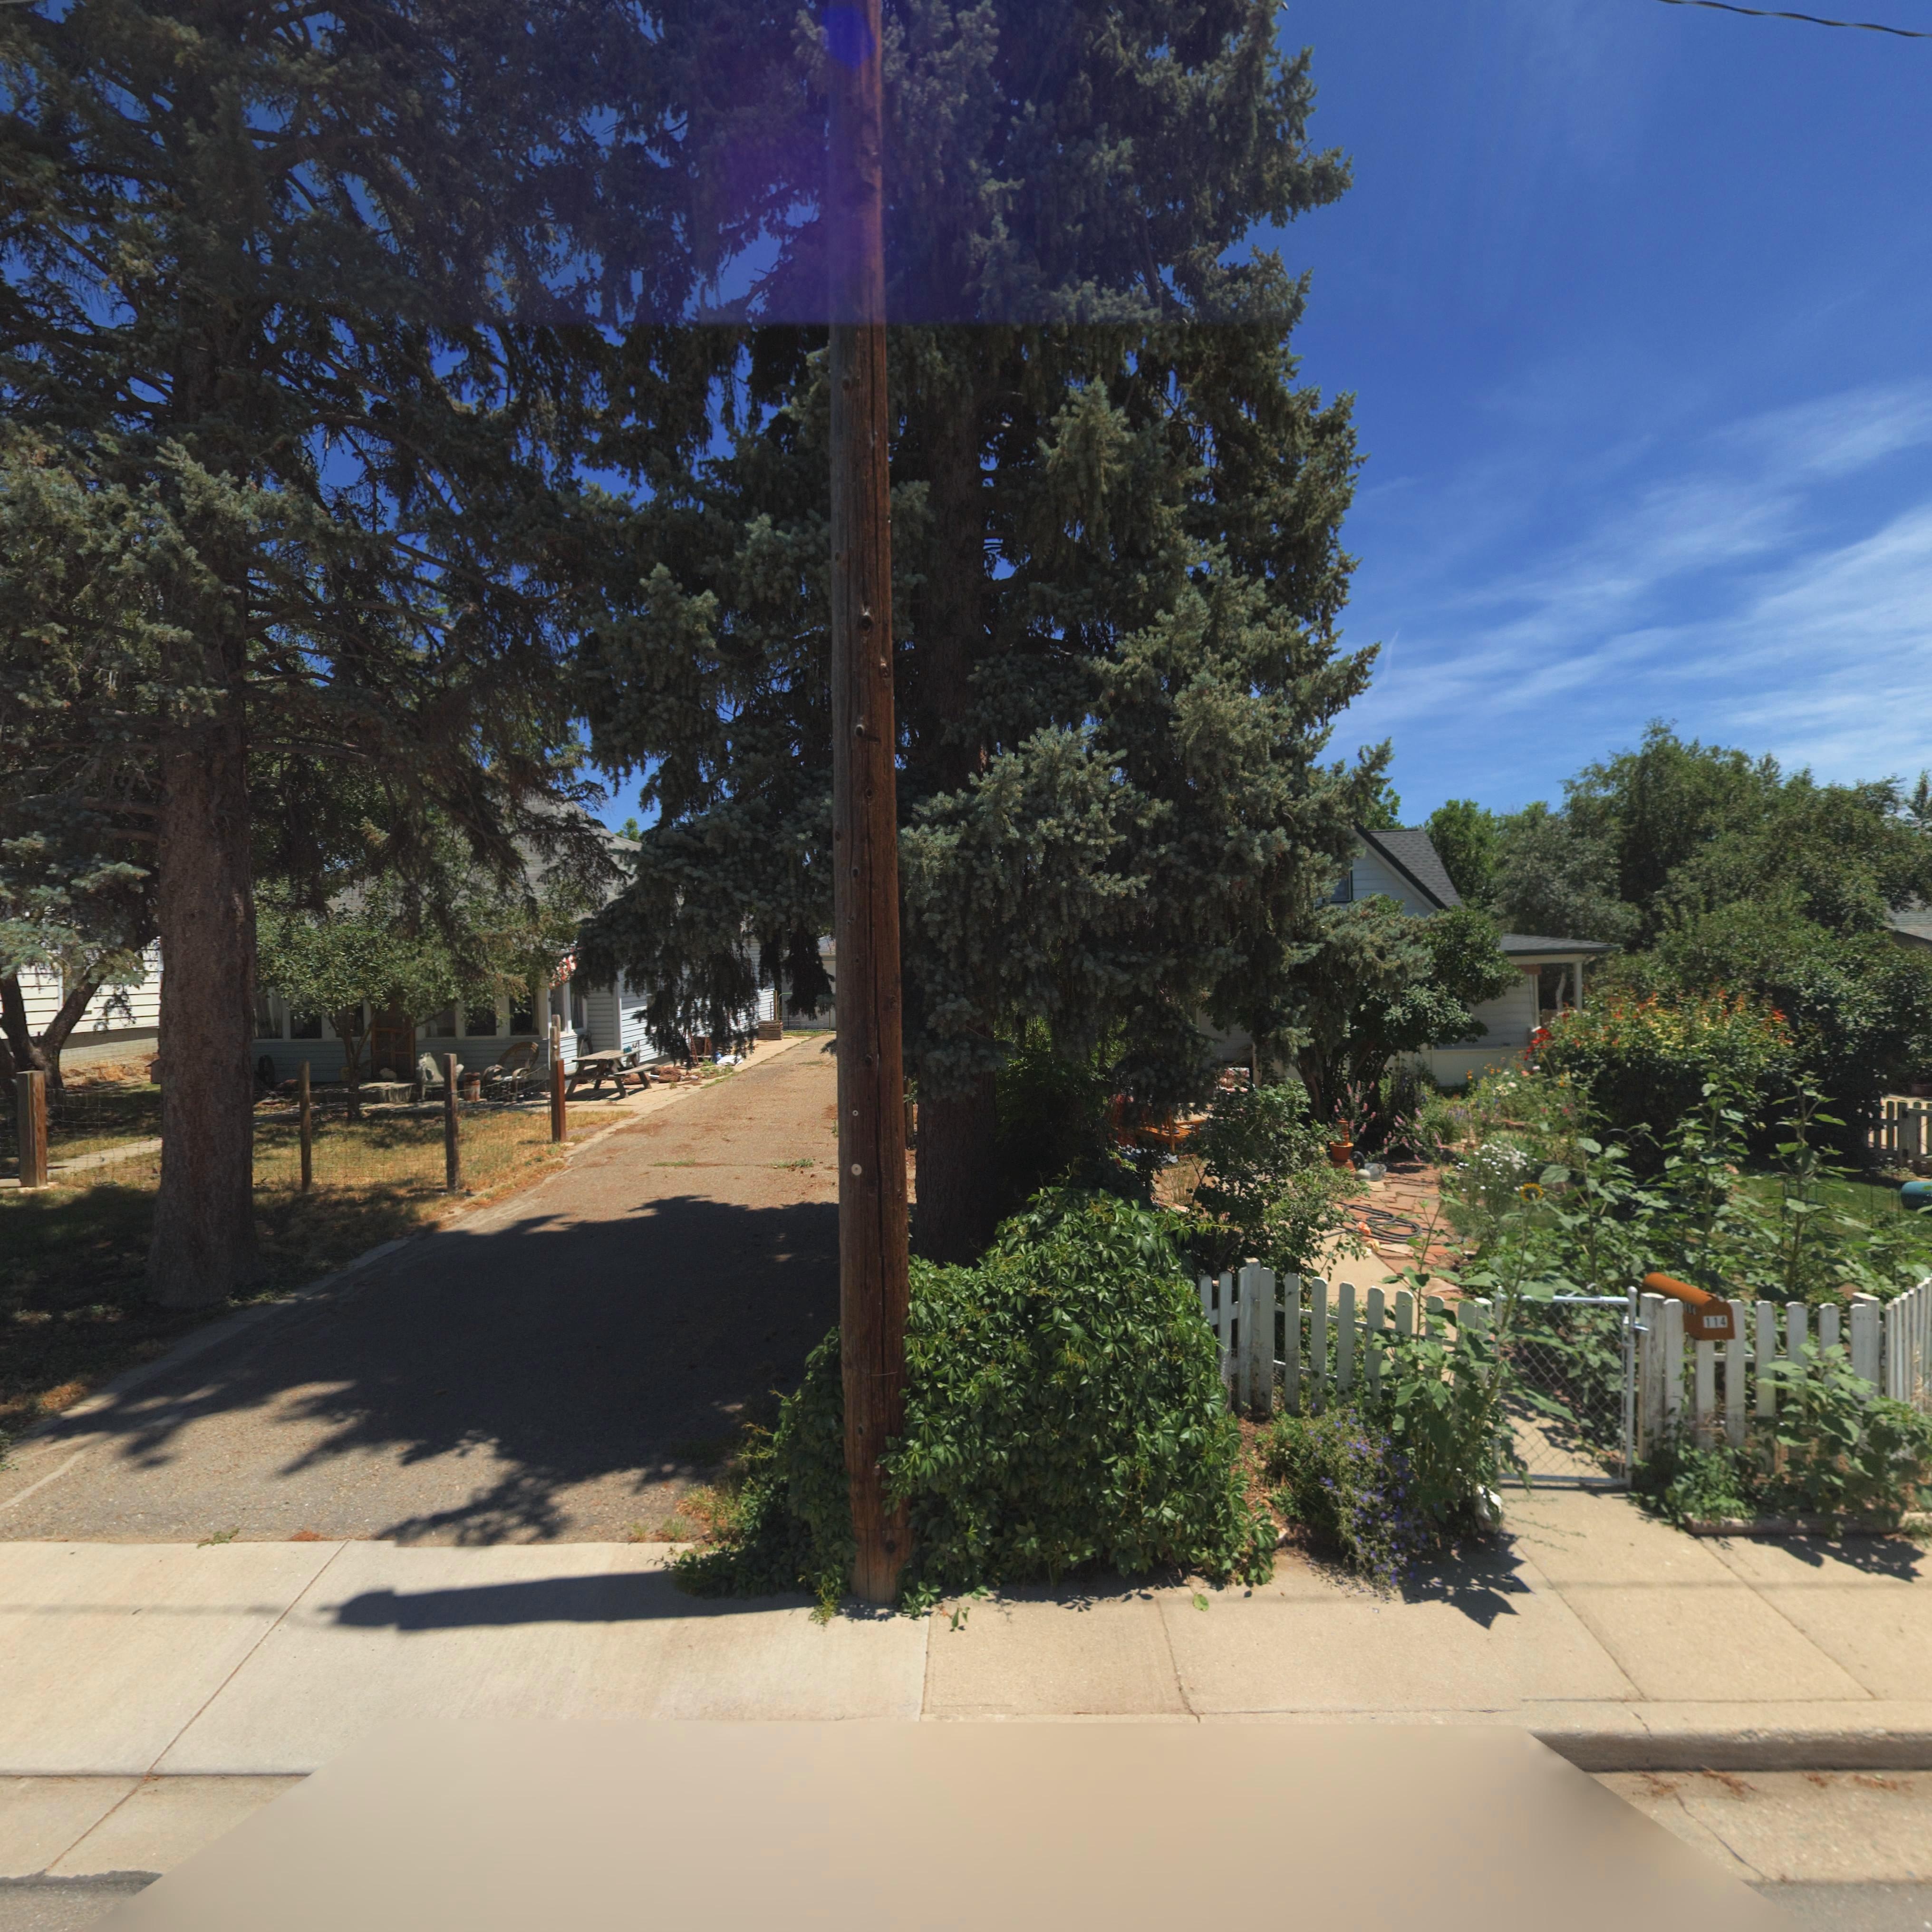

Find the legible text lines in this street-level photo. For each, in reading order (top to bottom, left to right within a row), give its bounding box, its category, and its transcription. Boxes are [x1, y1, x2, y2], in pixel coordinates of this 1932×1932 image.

[1683, 1302, 1696, 1316] StreetNumber: 114
[1705, 1316, 1727, 1327] StreetNumber: 114